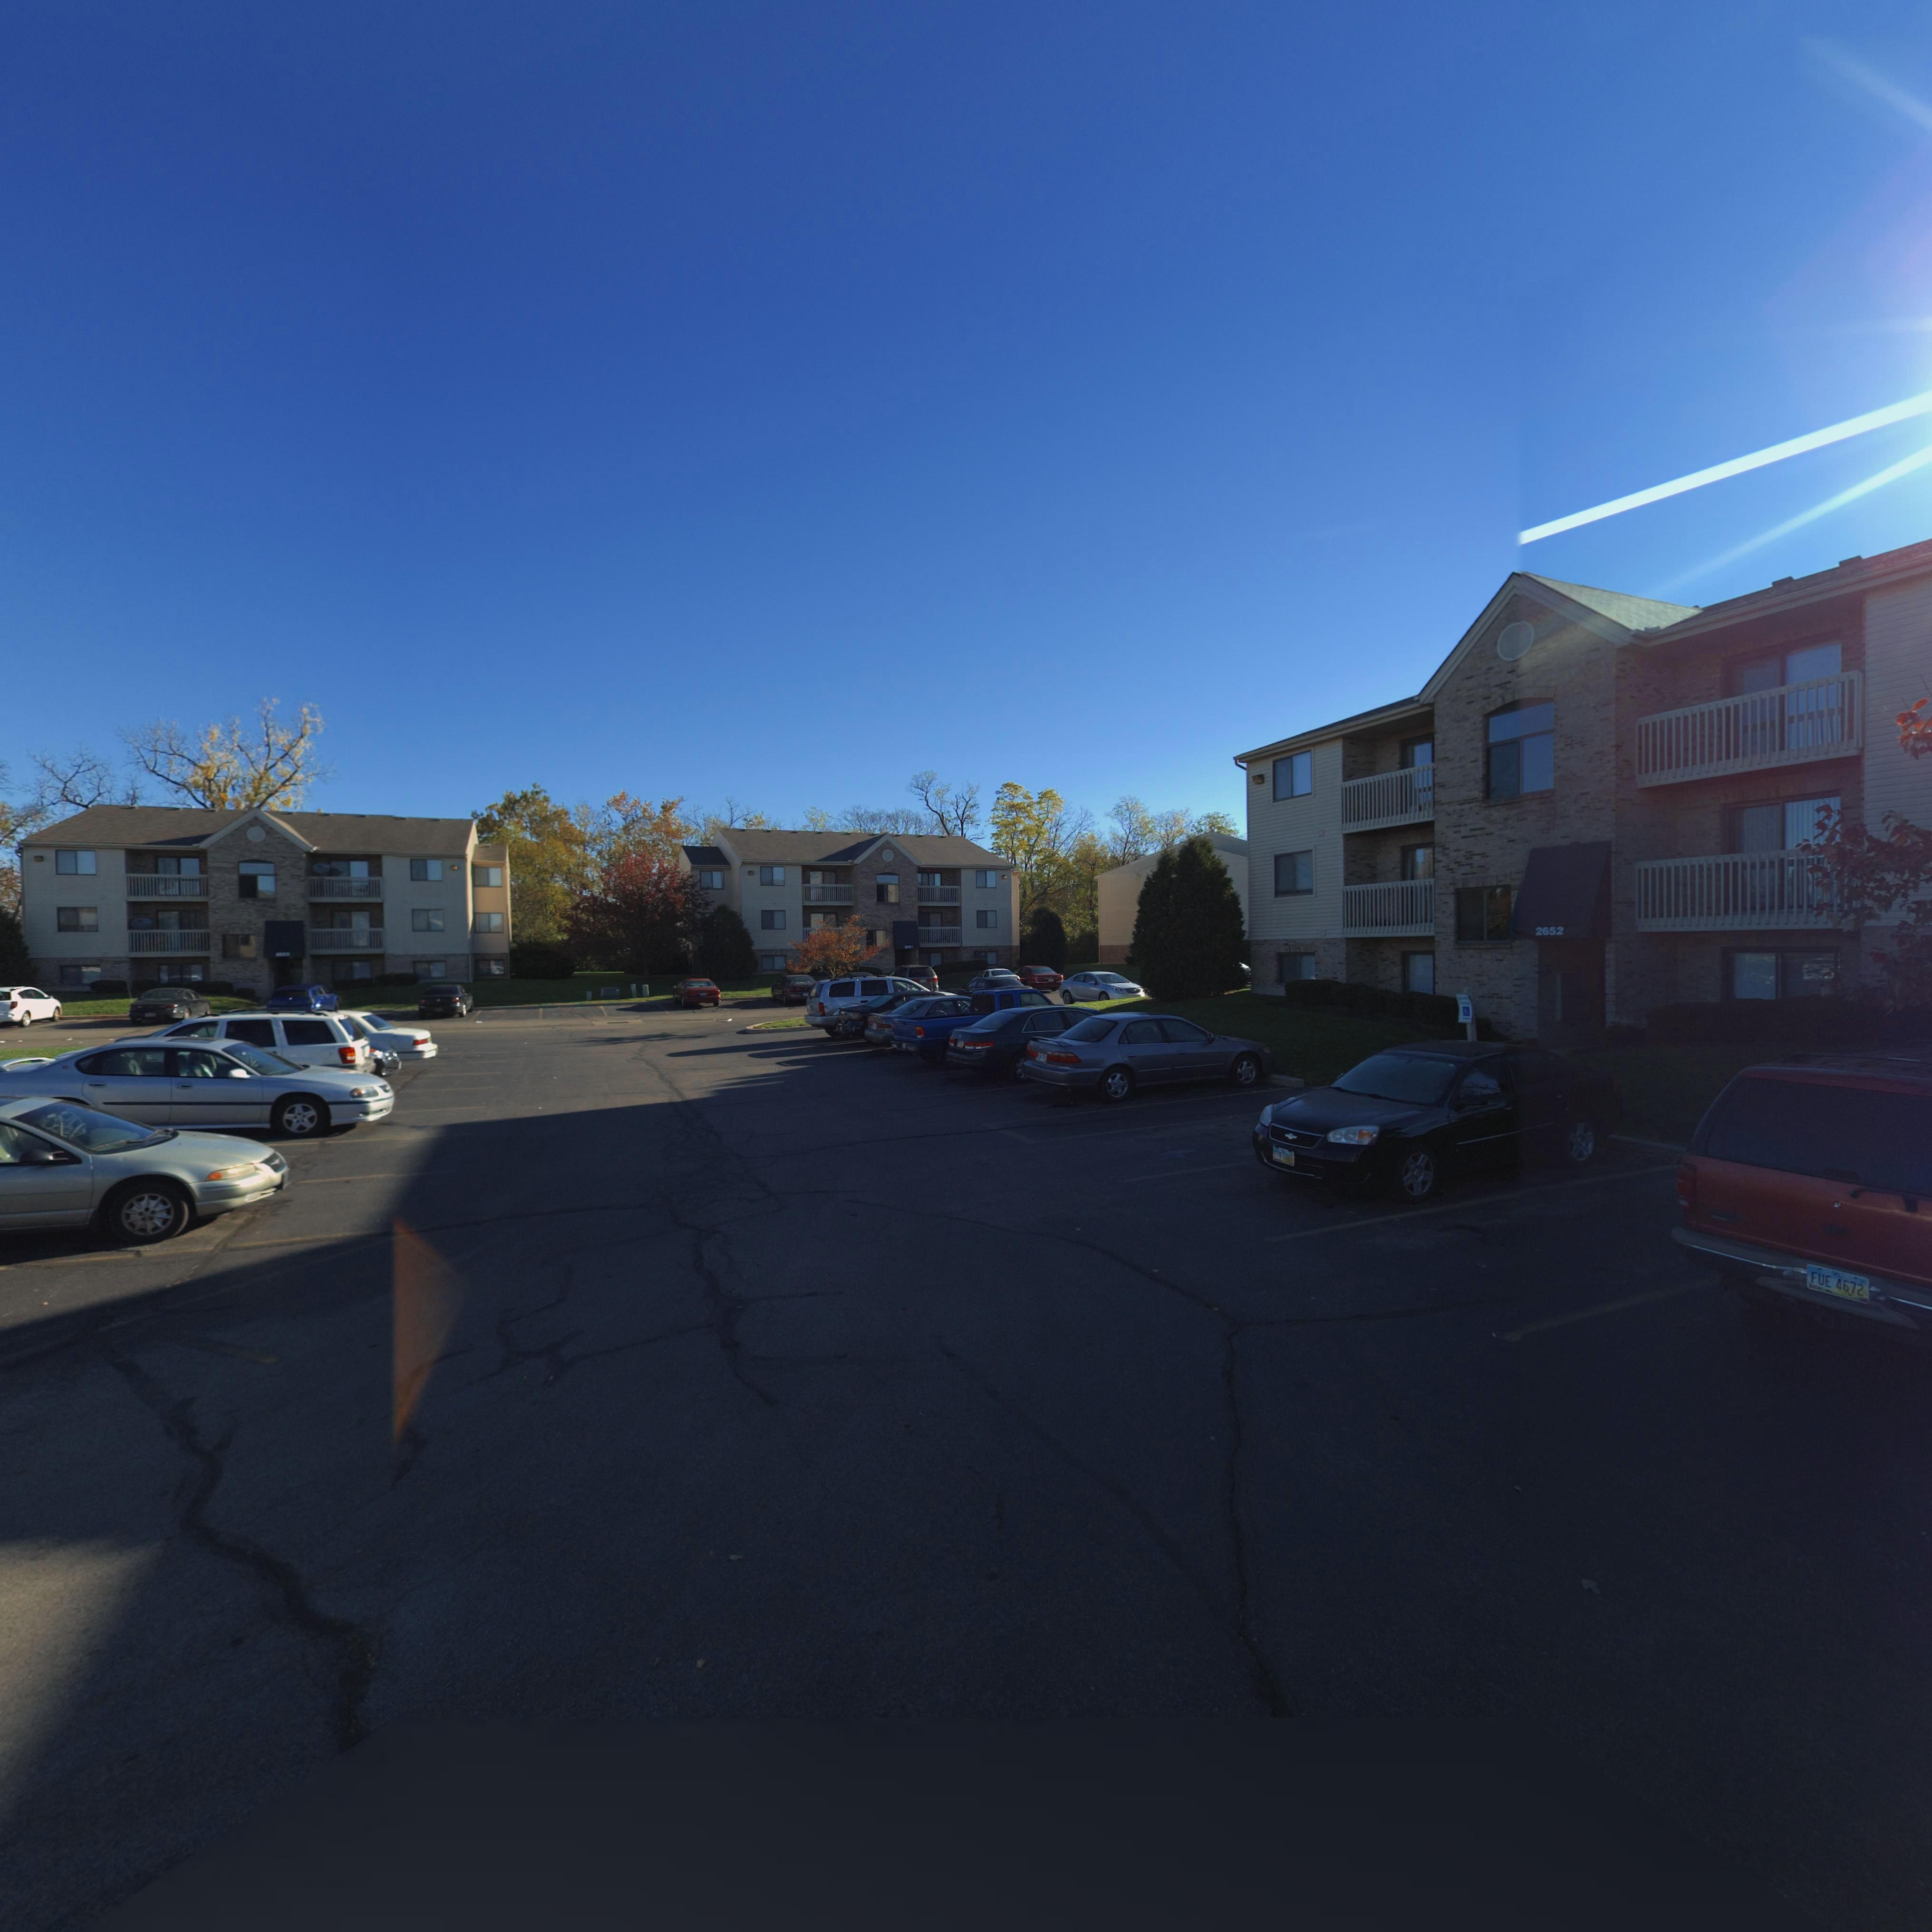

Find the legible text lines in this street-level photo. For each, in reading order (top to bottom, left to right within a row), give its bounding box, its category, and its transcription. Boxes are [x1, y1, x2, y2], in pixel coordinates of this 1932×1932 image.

[1535, 925, 1565, 937] StreetNumber: 2652